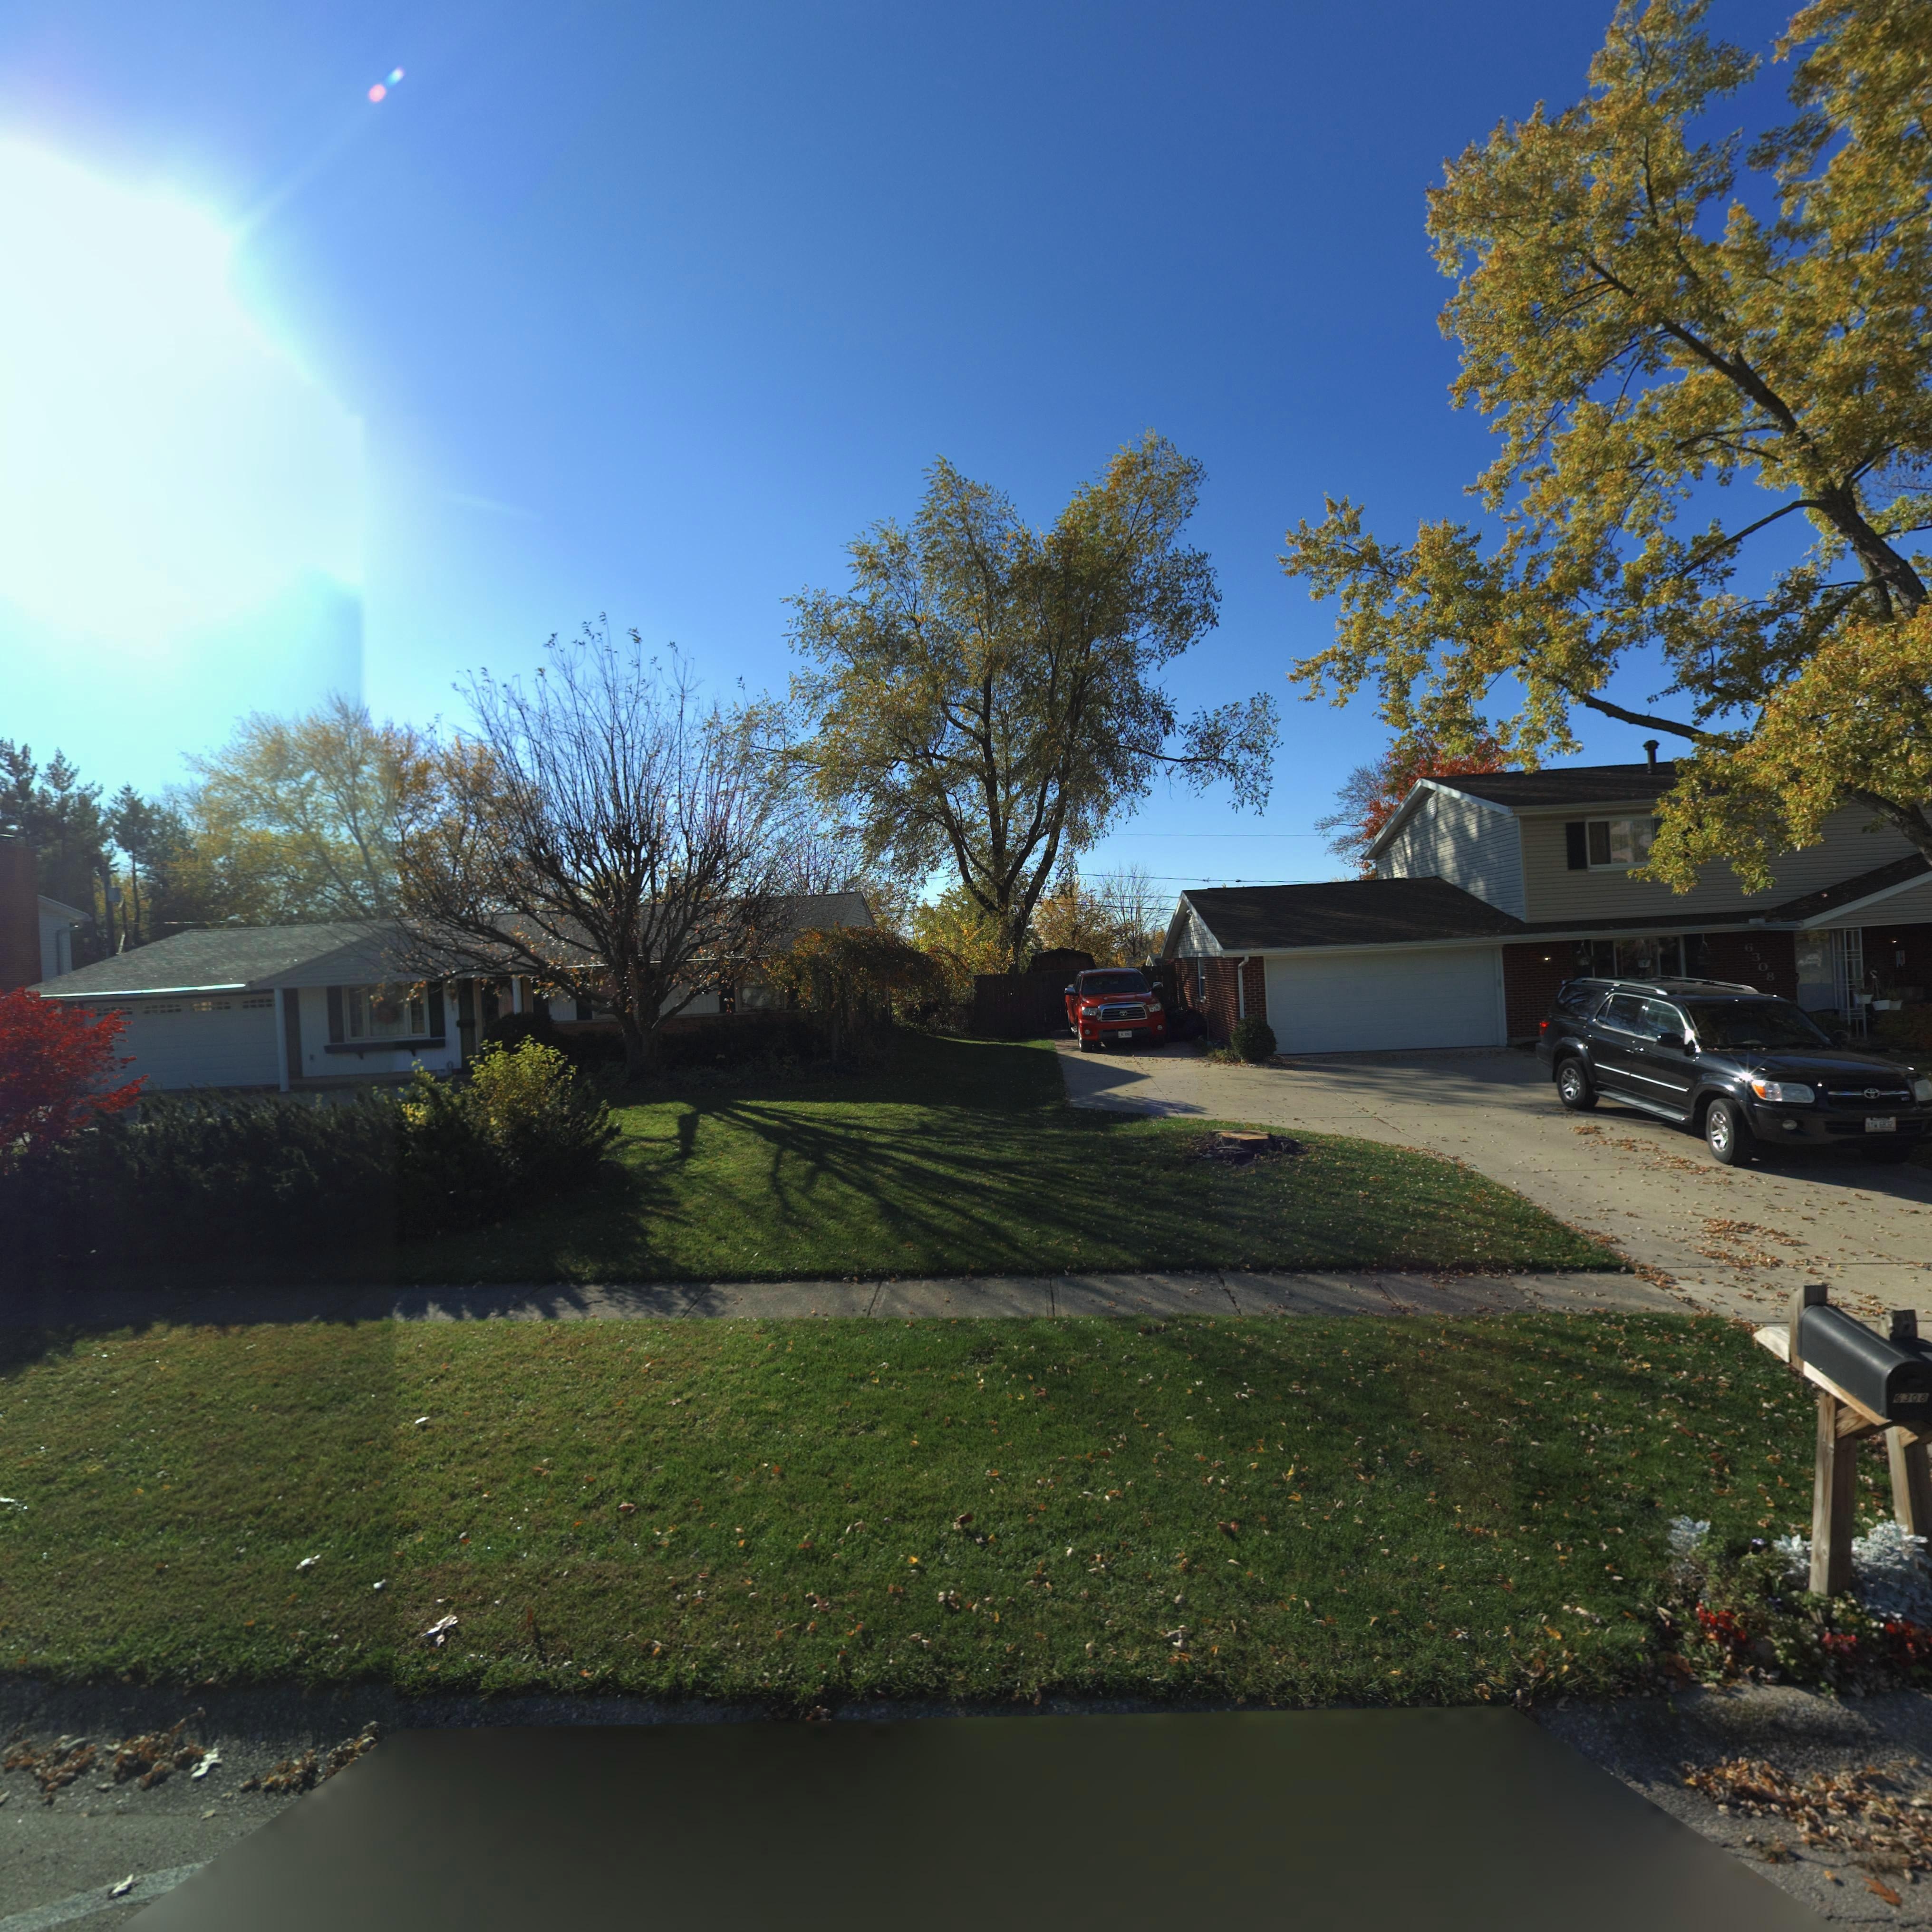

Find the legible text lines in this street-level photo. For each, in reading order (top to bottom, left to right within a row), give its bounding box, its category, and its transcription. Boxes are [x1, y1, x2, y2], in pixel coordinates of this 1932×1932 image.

[1744, 941, 1776, 983] StreetNumber: 6308
[1893, 1392, 1928, 1403] StreetNumber: 6308